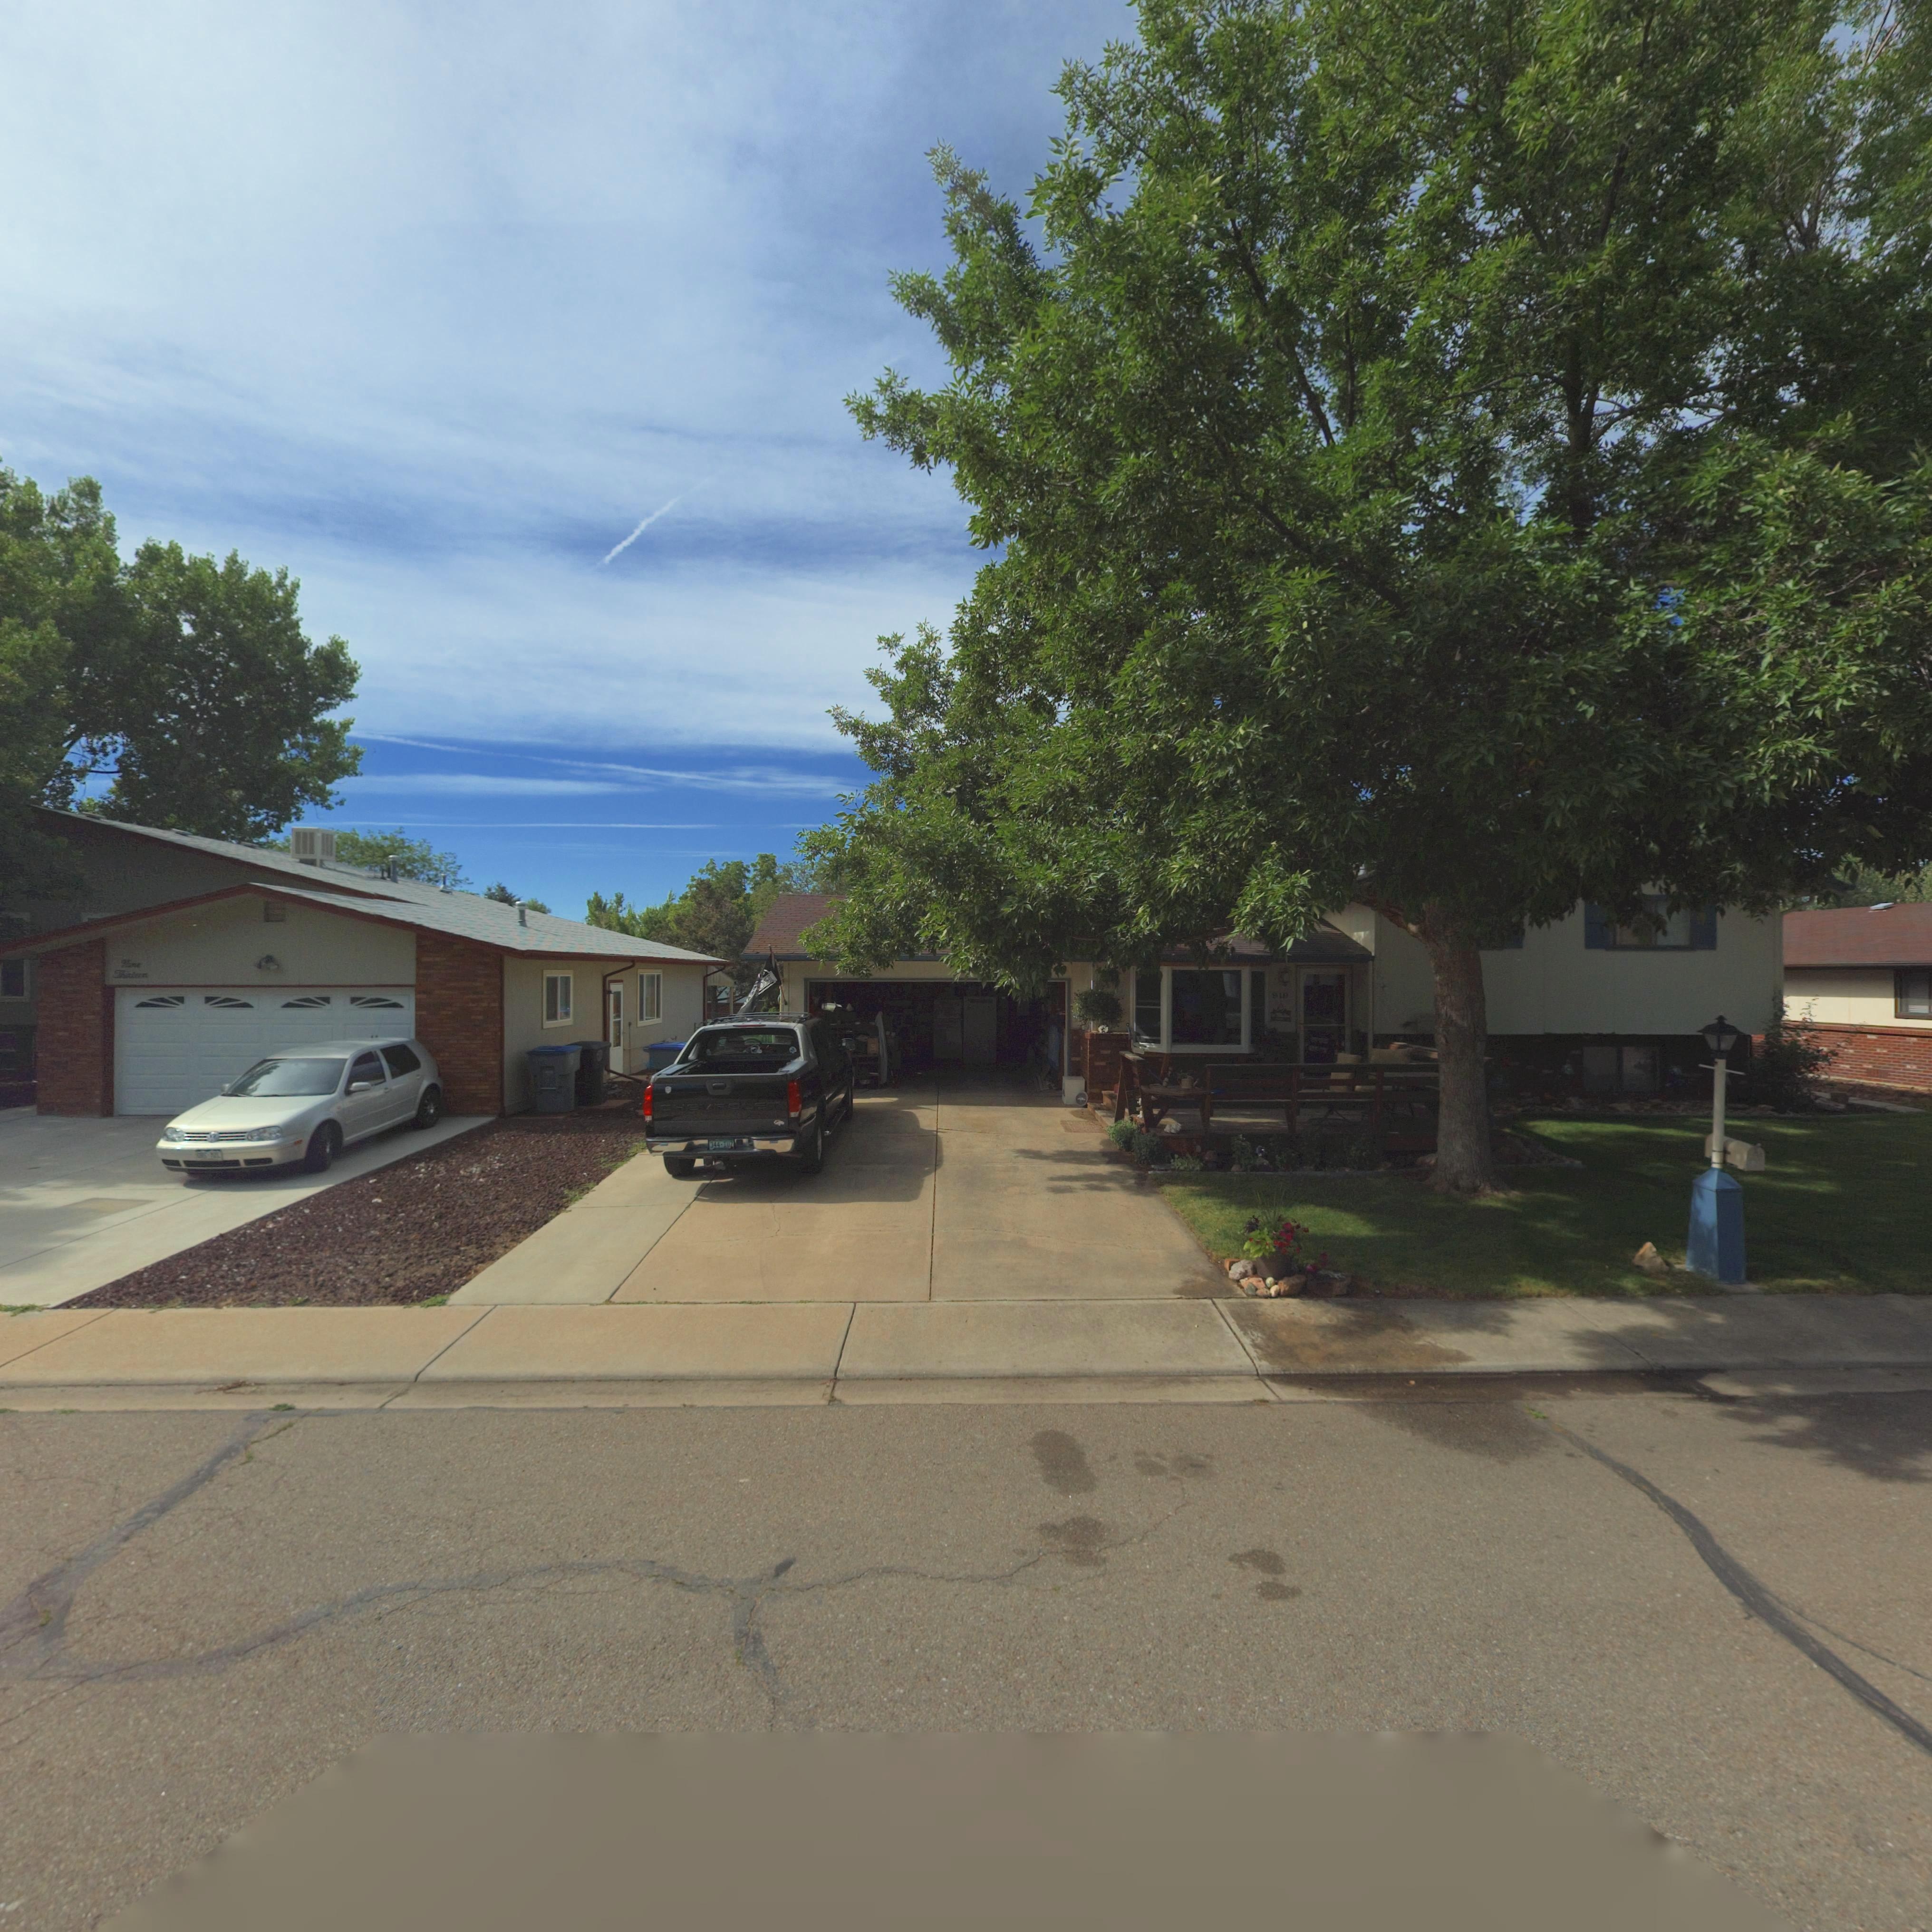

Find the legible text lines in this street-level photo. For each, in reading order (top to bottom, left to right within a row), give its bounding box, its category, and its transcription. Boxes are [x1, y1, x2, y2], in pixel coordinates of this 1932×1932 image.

[121, 959, 141, 968] StreetNumber: Nine
[112, 969, 148, 979] StreetNumber: Thirteen
[1272, 992, 1288, 998] StreetNumber: 919